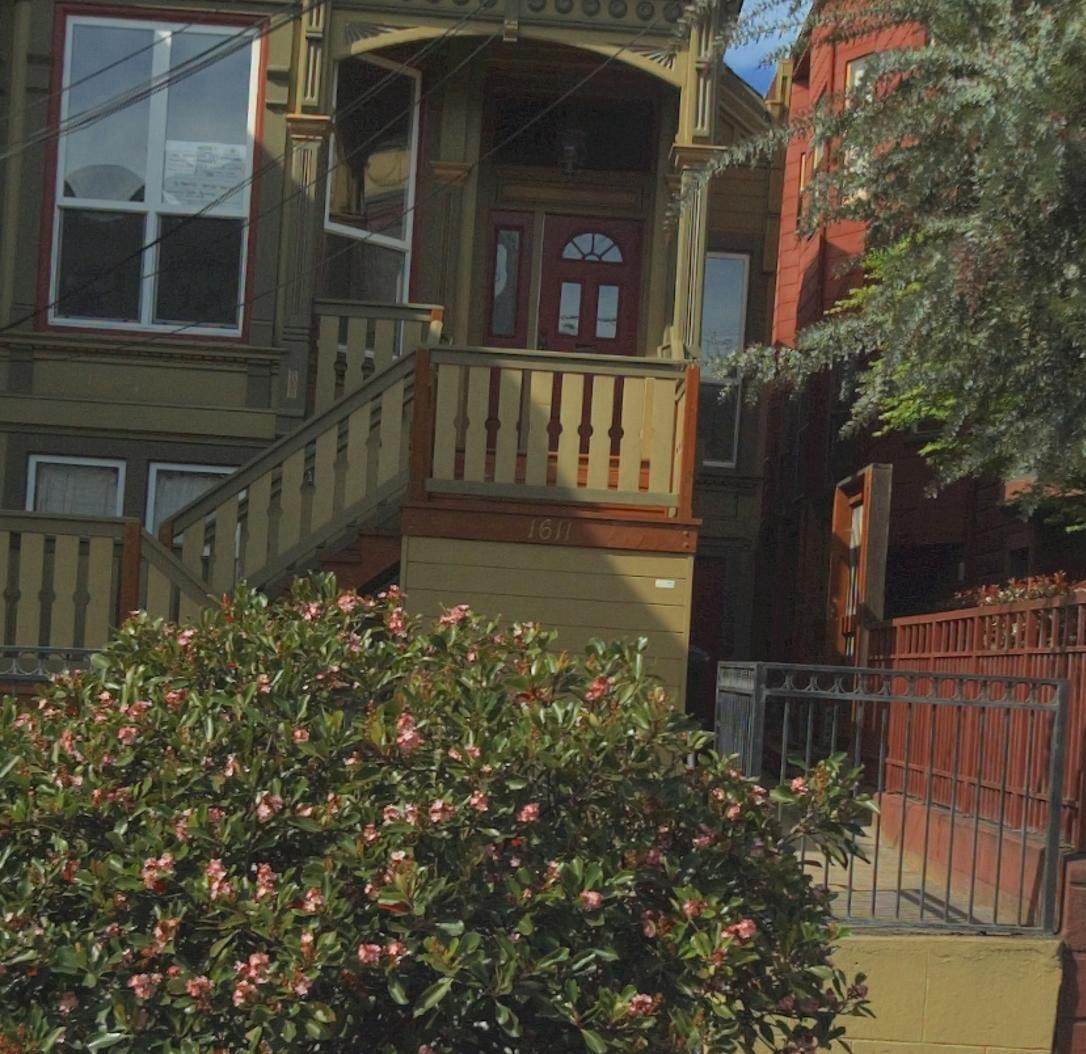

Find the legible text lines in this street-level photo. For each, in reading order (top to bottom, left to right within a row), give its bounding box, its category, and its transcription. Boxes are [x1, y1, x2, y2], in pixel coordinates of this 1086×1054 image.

[524, 515, 575, 543] StreetNumber: 1611